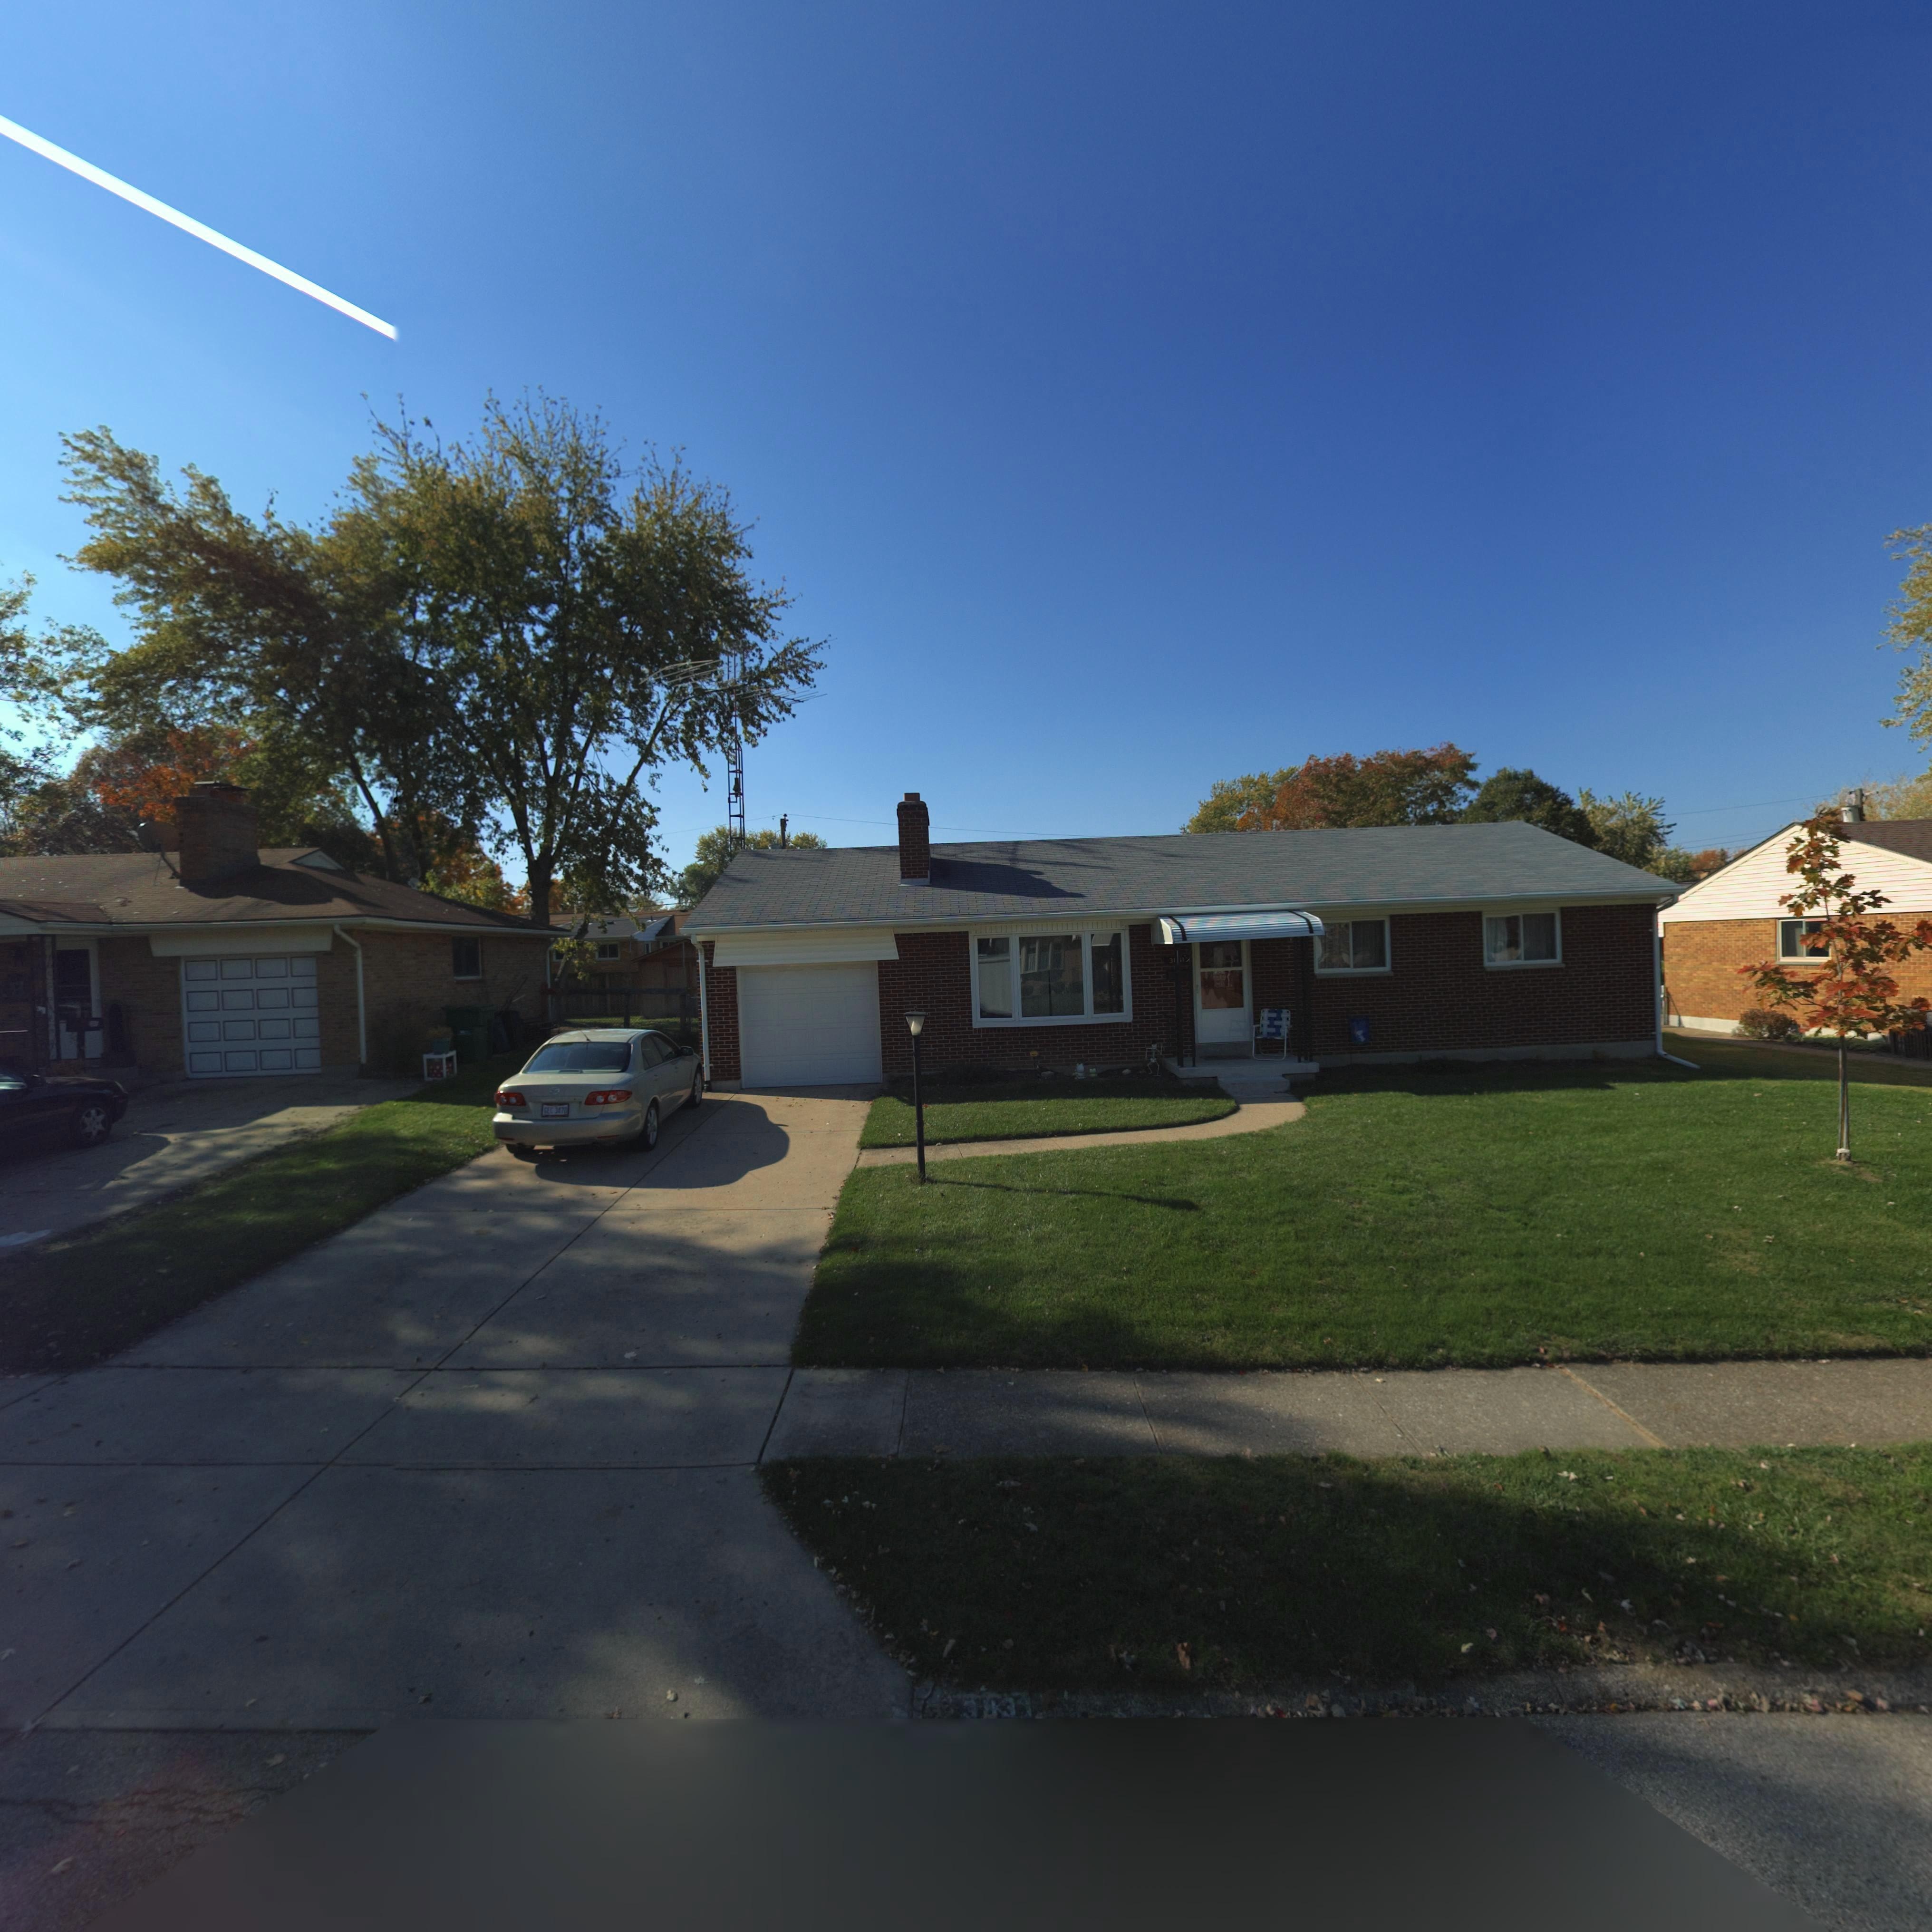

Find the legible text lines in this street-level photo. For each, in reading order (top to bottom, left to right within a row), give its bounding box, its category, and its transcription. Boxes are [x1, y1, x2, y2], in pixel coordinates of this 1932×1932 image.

[1169, 957, 1174, 964] StreetNumber: 3
[543, 1106, 568, 1115] None: GEC 347*